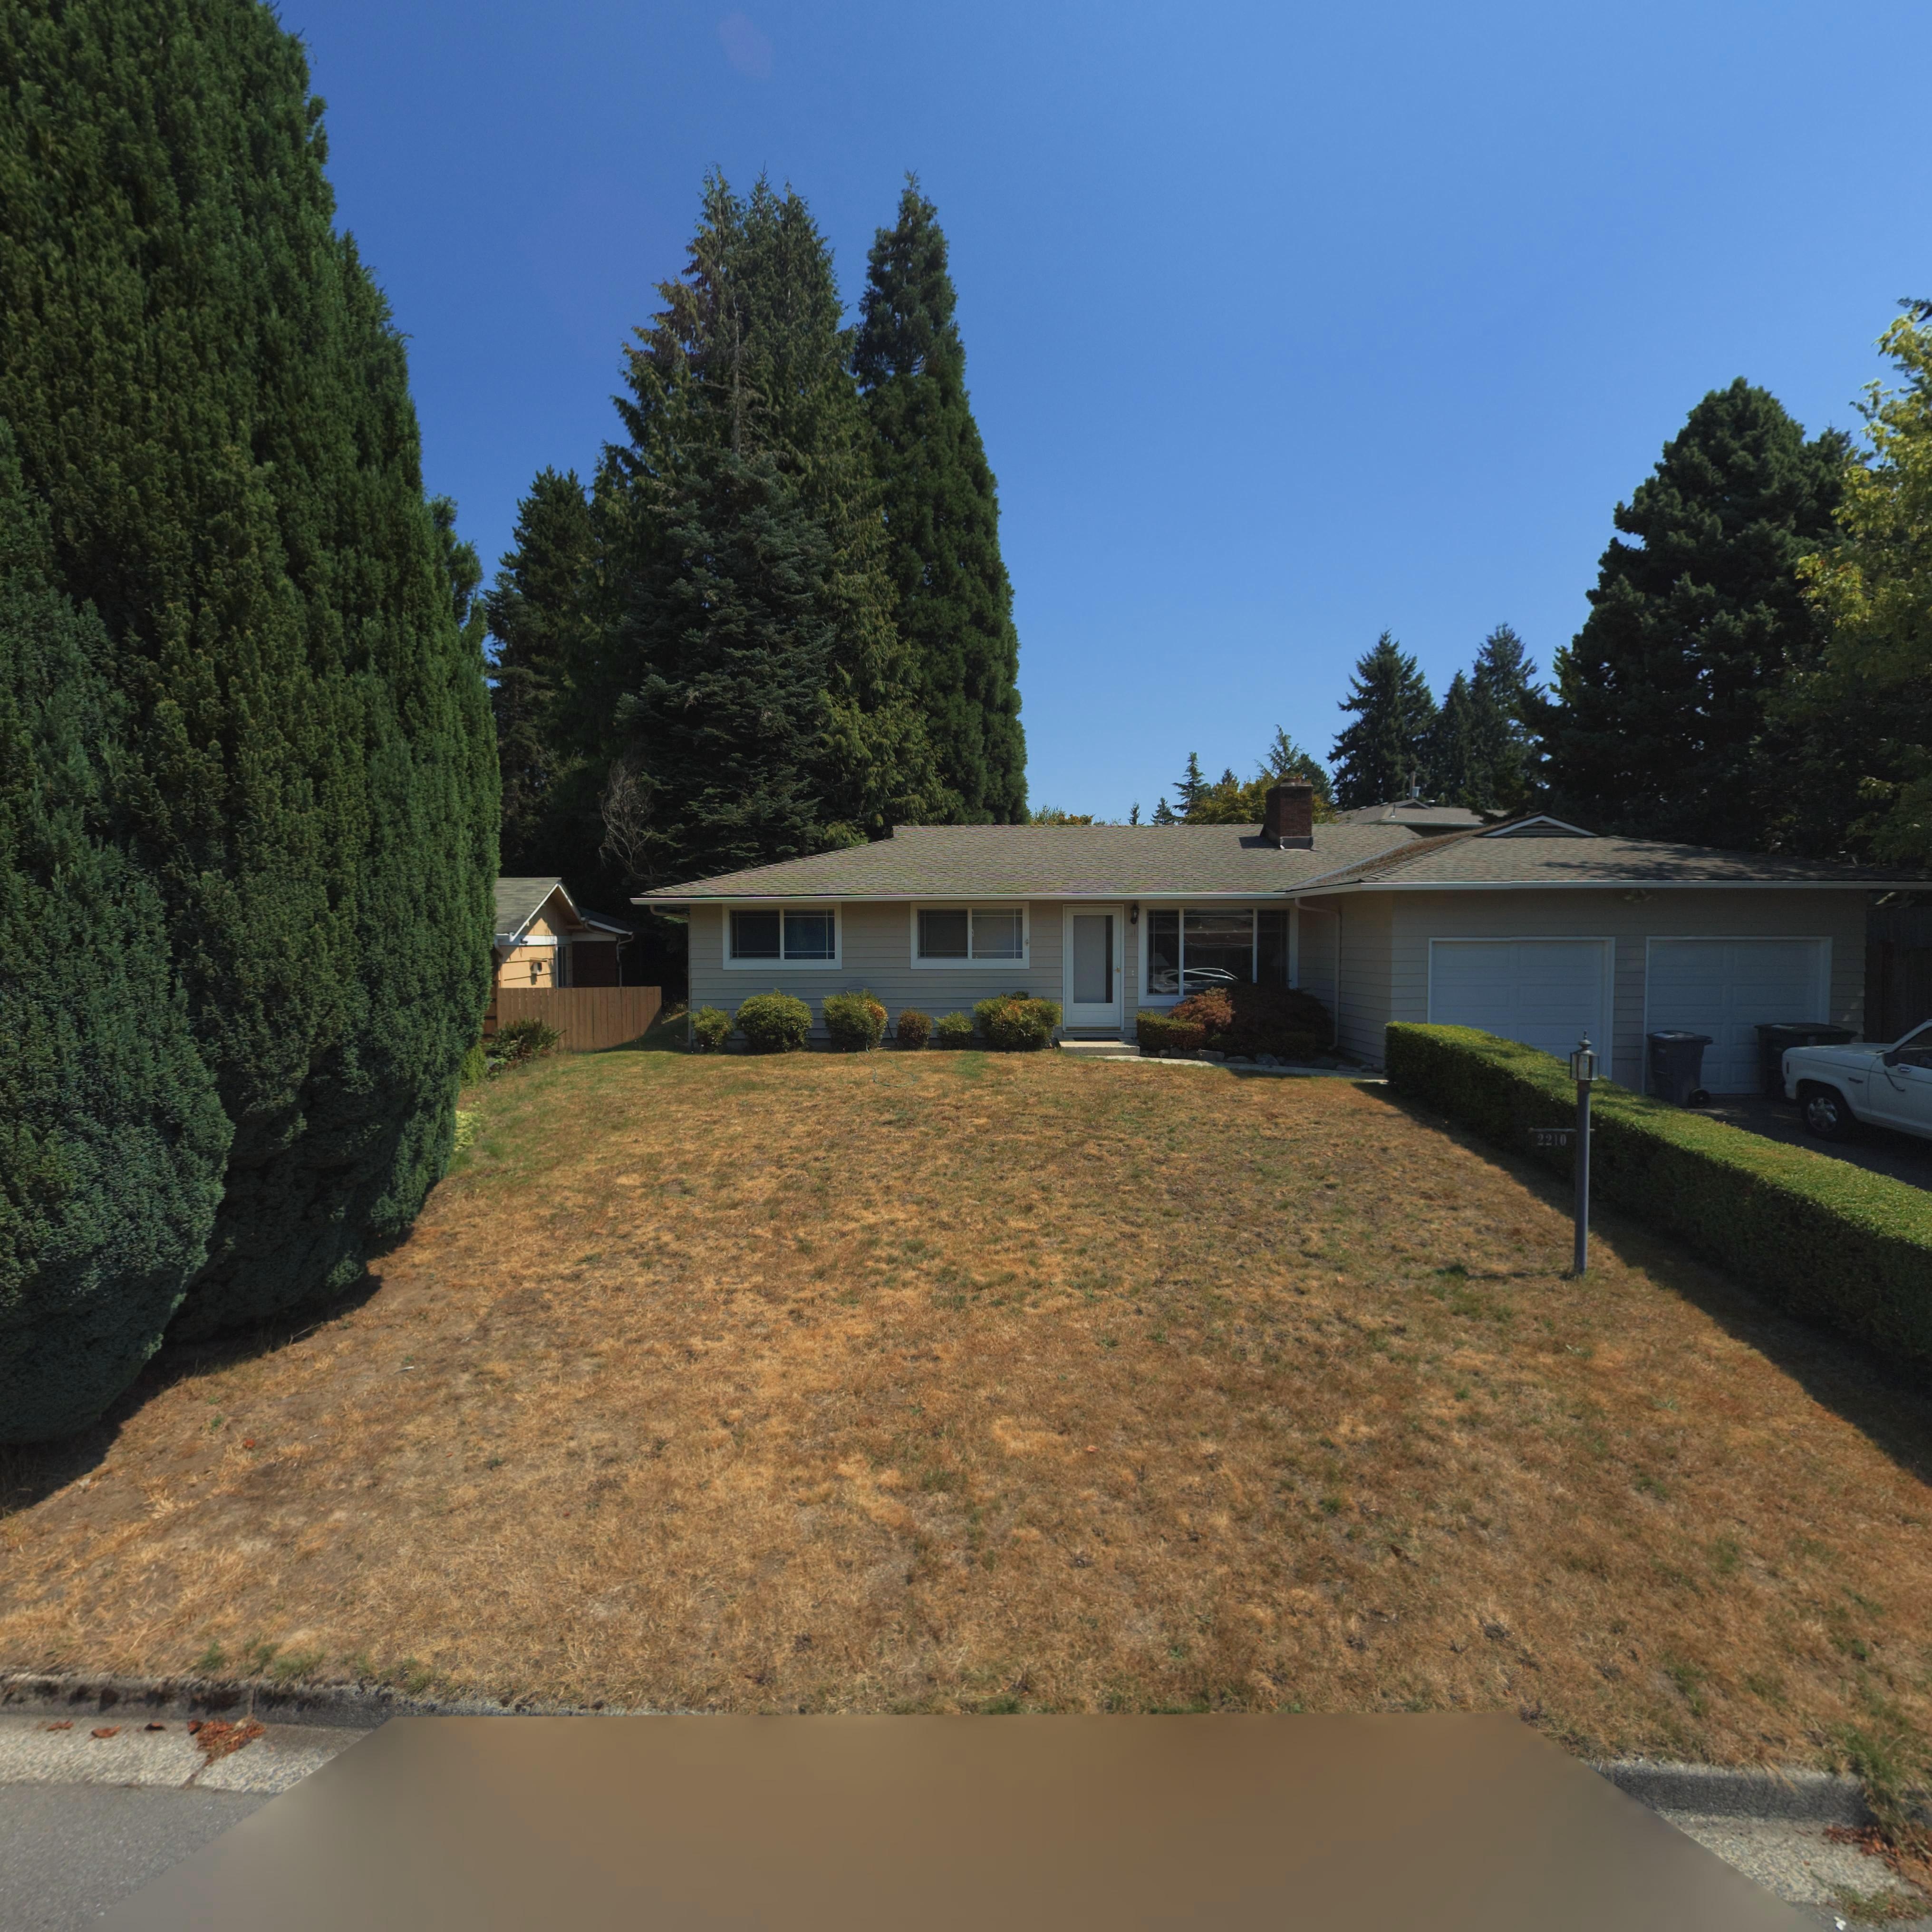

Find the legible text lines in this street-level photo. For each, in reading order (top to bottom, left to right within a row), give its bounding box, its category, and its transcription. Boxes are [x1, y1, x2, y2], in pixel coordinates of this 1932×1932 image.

[1536, 1132, 1566, 1146] StreetNumber: 2210